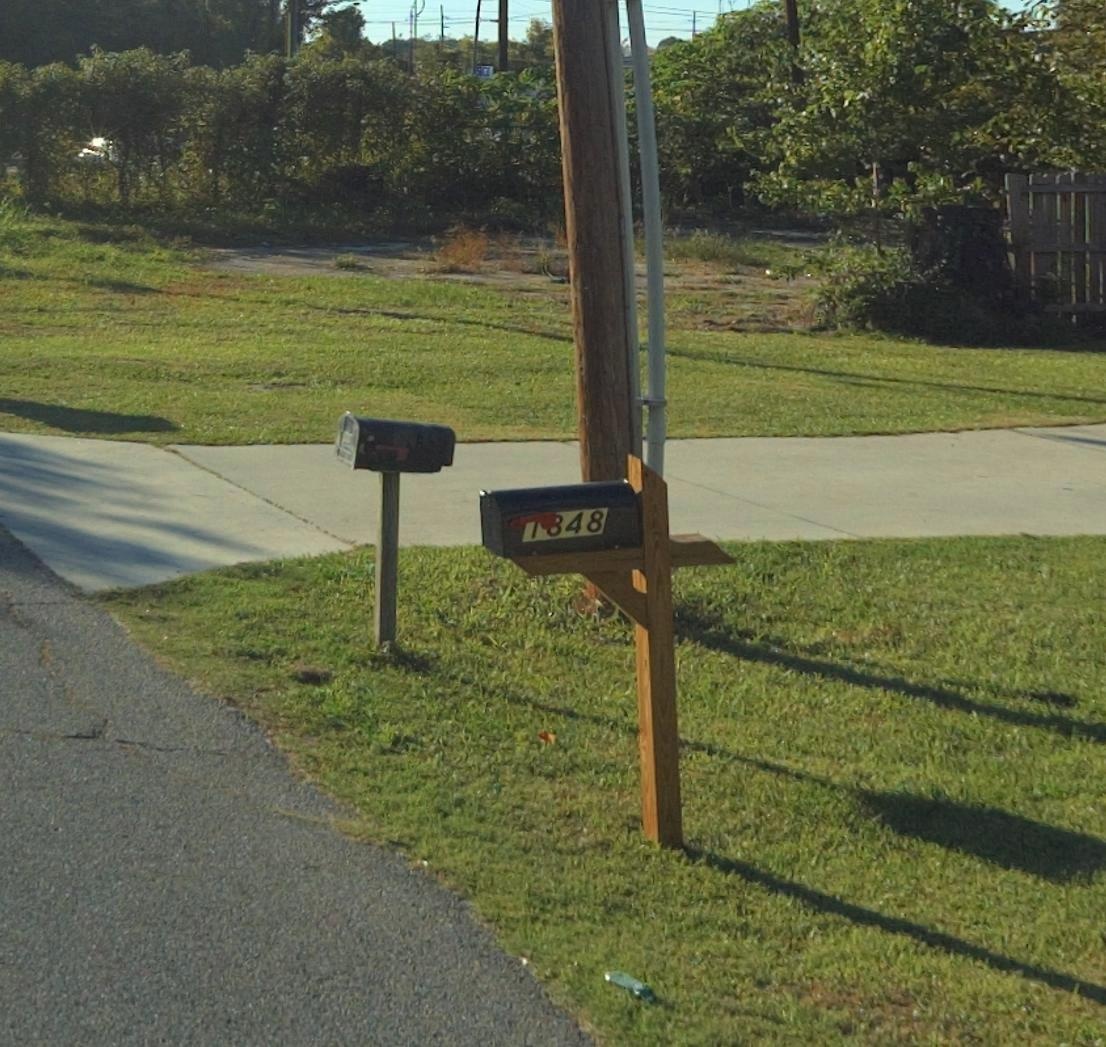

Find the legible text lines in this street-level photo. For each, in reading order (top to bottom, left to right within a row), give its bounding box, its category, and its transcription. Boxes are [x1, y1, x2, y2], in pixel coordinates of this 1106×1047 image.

[529, 509, 606, 541] StreetNumber: 1*48